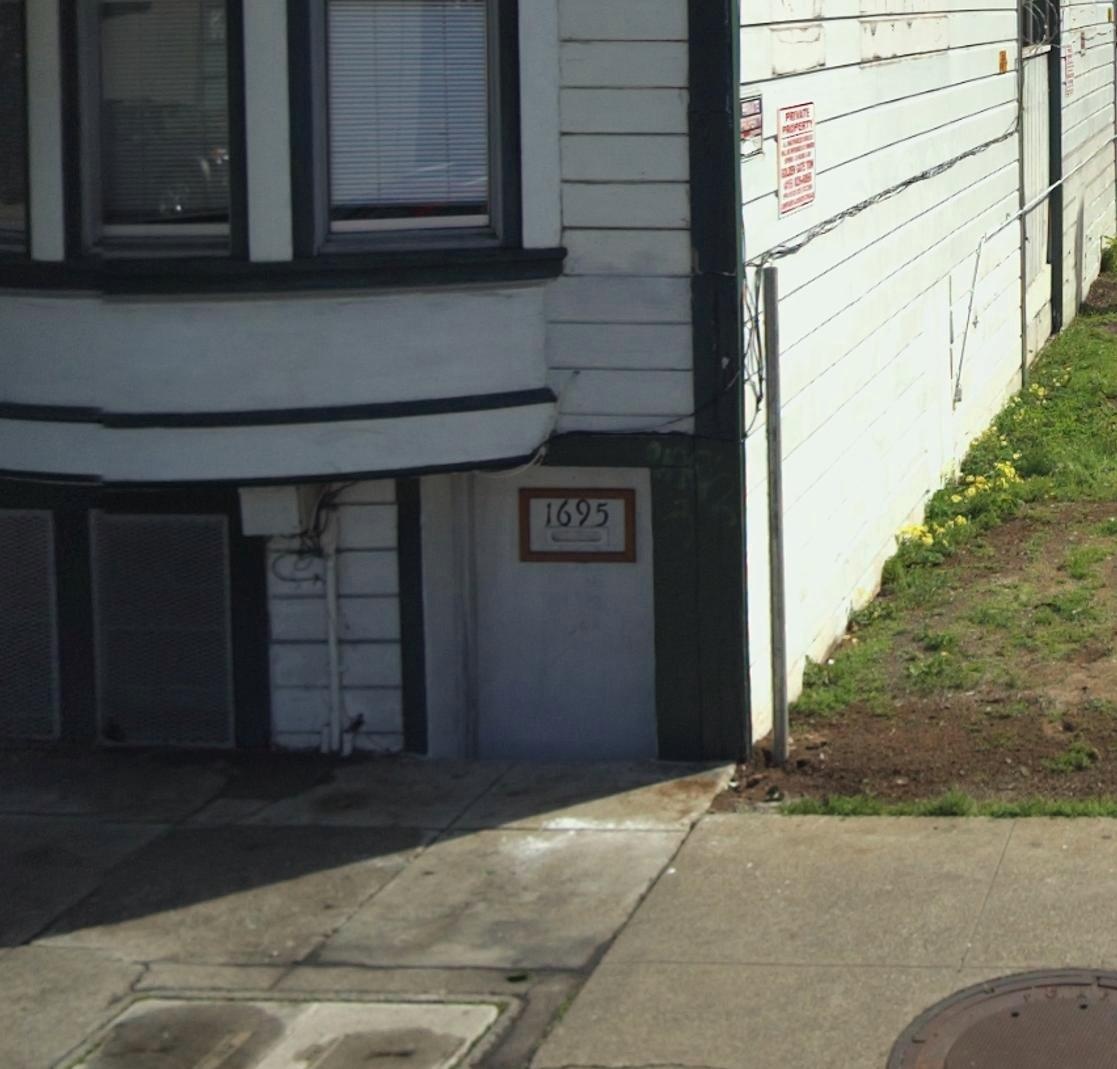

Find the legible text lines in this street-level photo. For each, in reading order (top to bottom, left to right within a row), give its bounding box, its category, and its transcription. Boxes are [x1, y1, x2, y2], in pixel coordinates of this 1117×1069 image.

[540, 495, 614, 532] StreetNumber: 1695